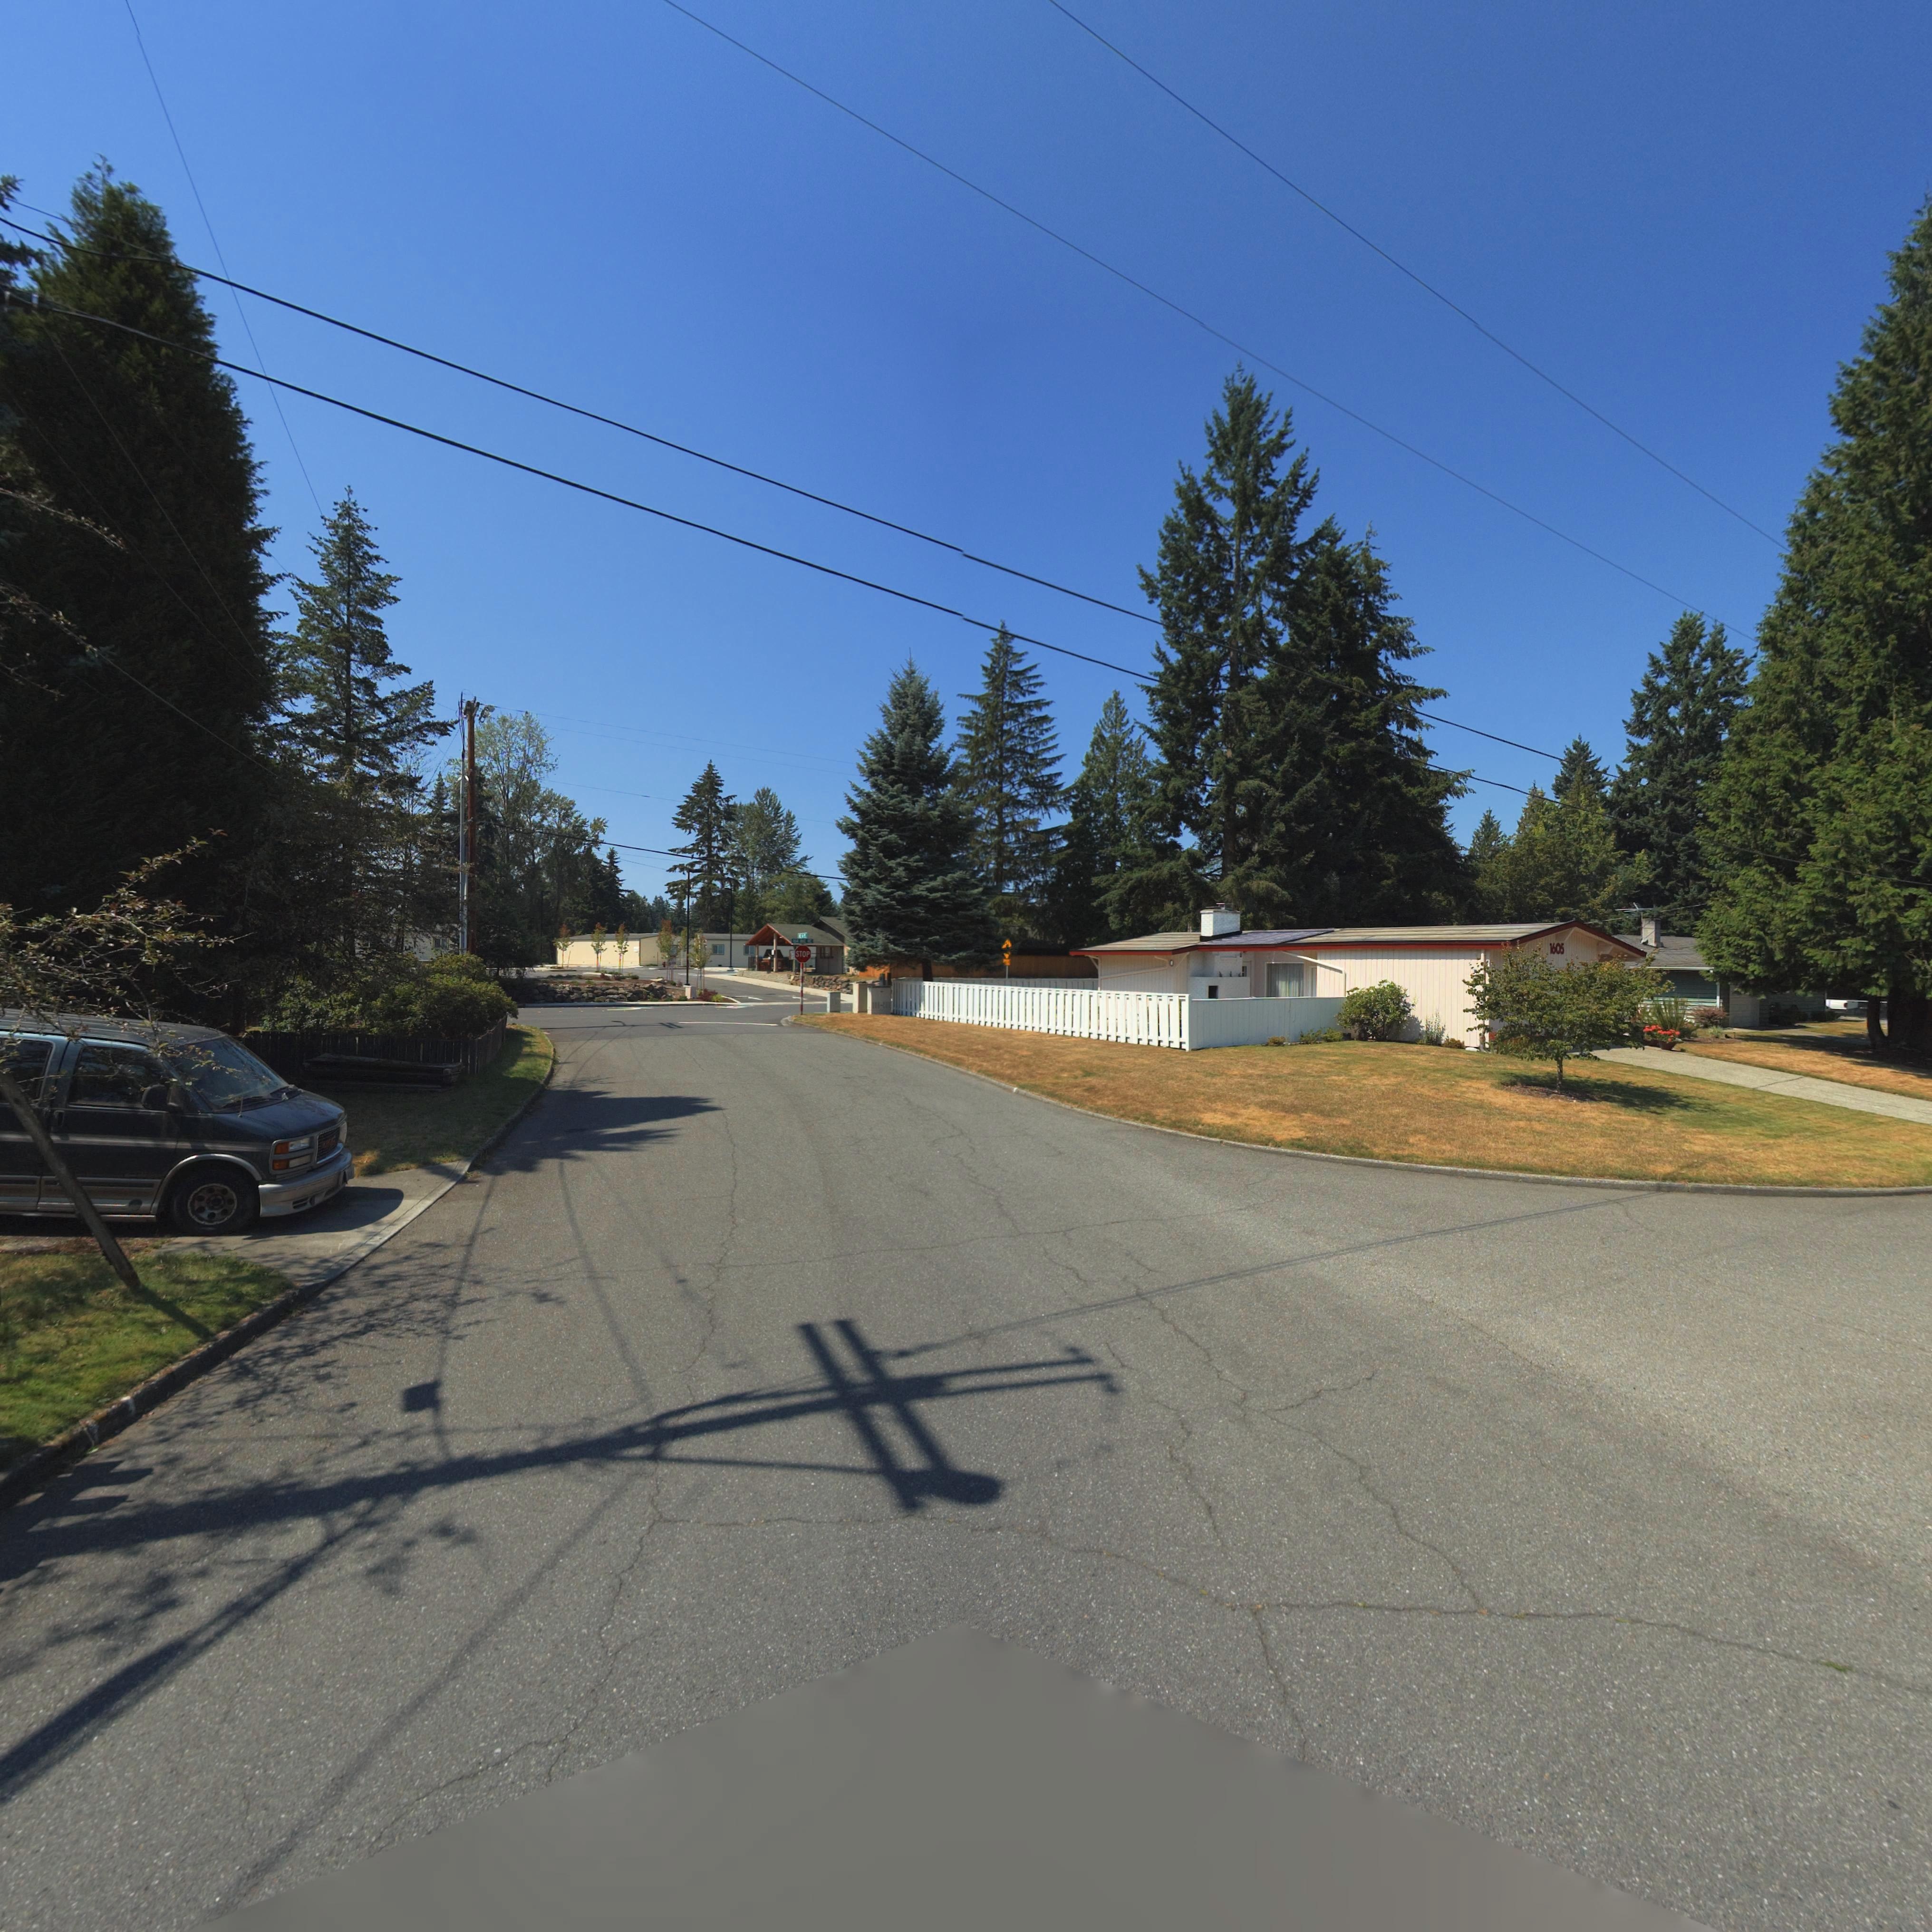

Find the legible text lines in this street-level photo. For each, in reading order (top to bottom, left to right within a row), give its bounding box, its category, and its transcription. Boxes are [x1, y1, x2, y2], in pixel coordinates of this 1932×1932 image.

[1549, 942, 1565, 955] StreetNumber: 1605